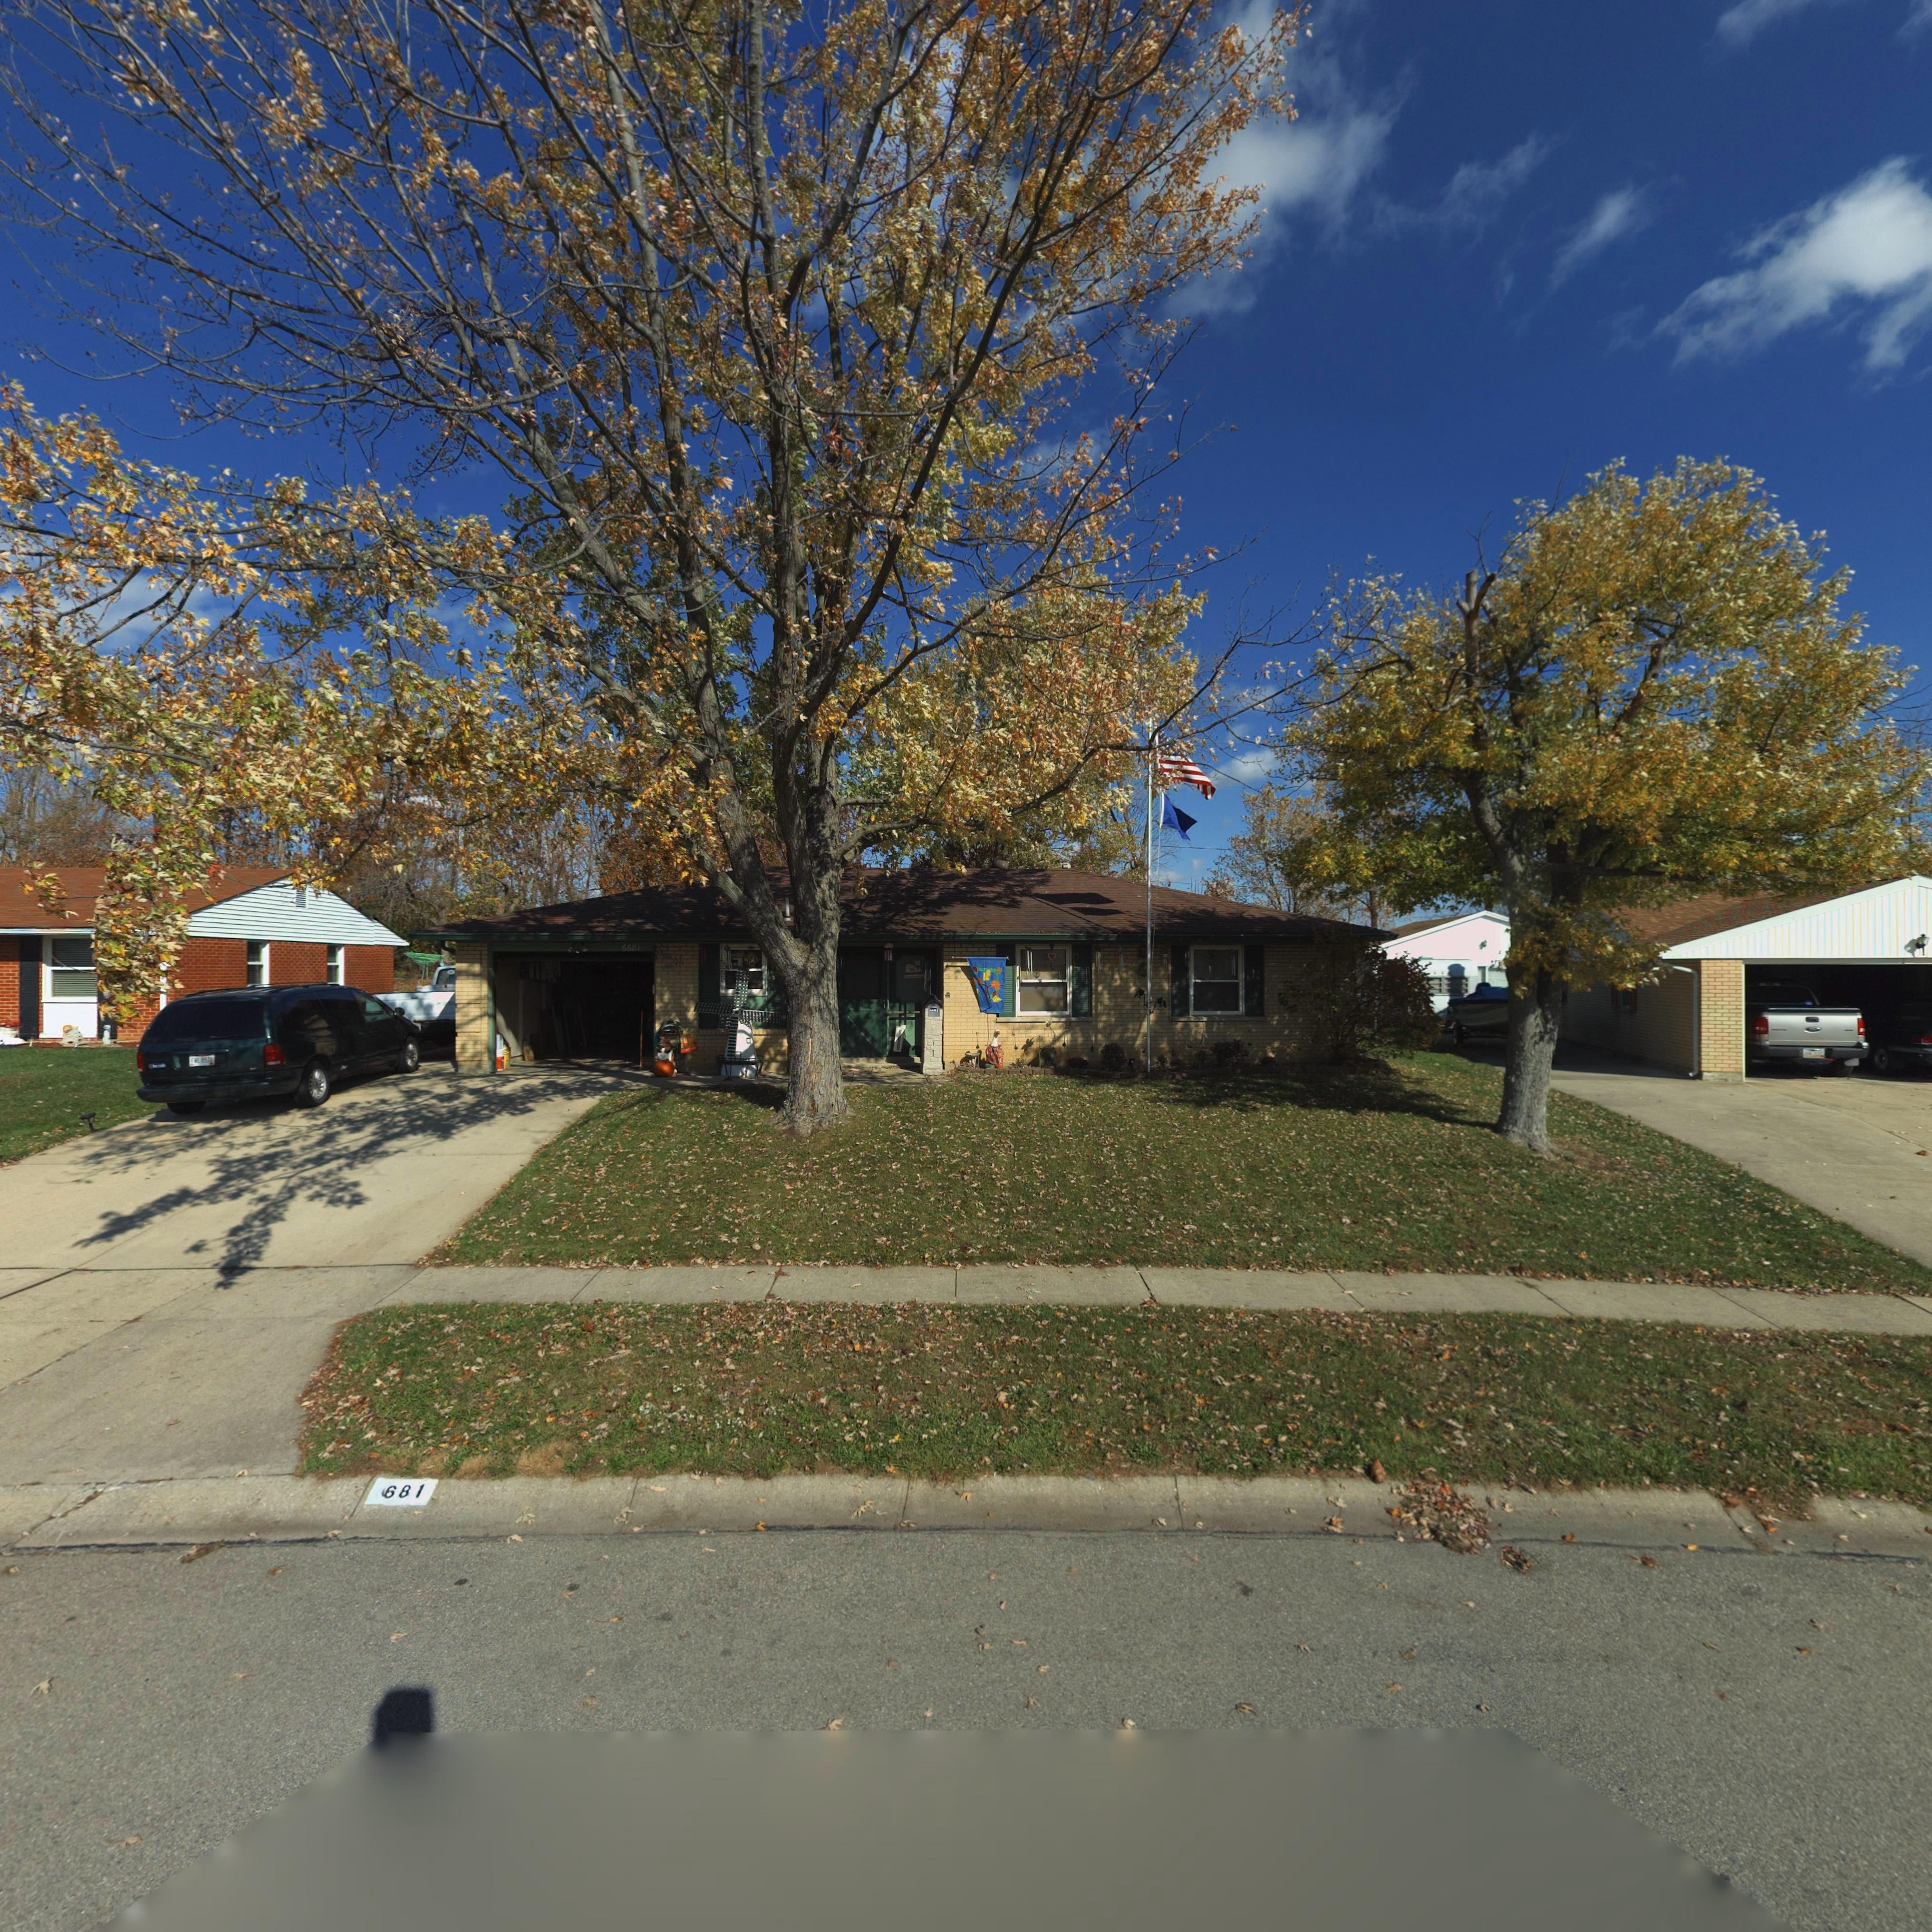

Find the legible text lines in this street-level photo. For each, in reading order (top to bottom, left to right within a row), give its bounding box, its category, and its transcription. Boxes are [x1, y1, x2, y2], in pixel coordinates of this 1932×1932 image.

[621, 943, 641, 952] StreetNumber: 6681
[936, 1008, 938, 1013] StreetNumber: 1
[383, 1483, 426, 1499] StreetNumber: 681